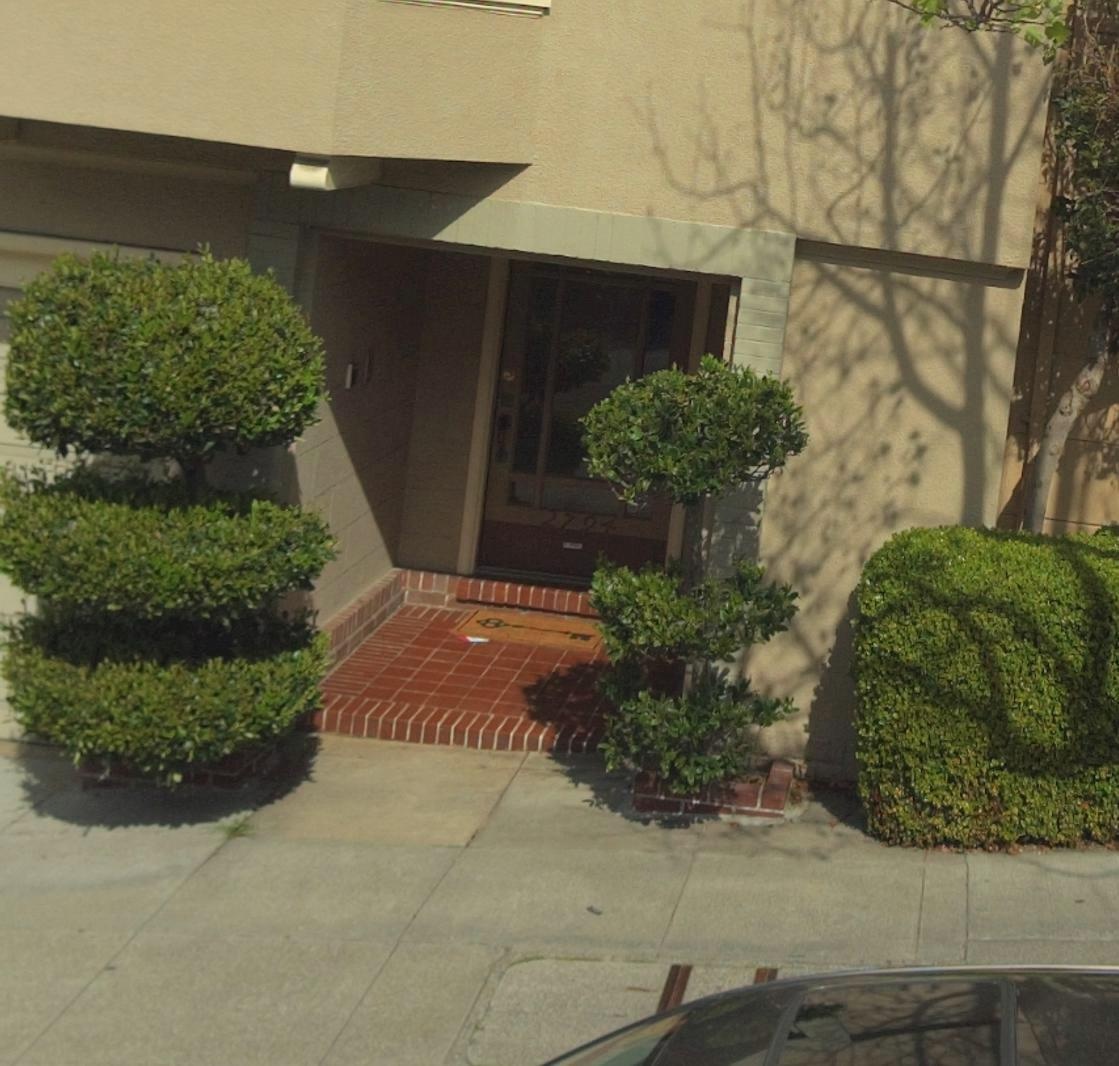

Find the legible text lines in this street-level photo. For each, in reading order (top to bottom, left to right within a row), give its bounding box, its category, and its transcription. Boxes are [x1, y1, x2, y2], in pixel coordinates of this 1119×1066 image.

[537, 505, 619, 539] StreetNumber: 2794